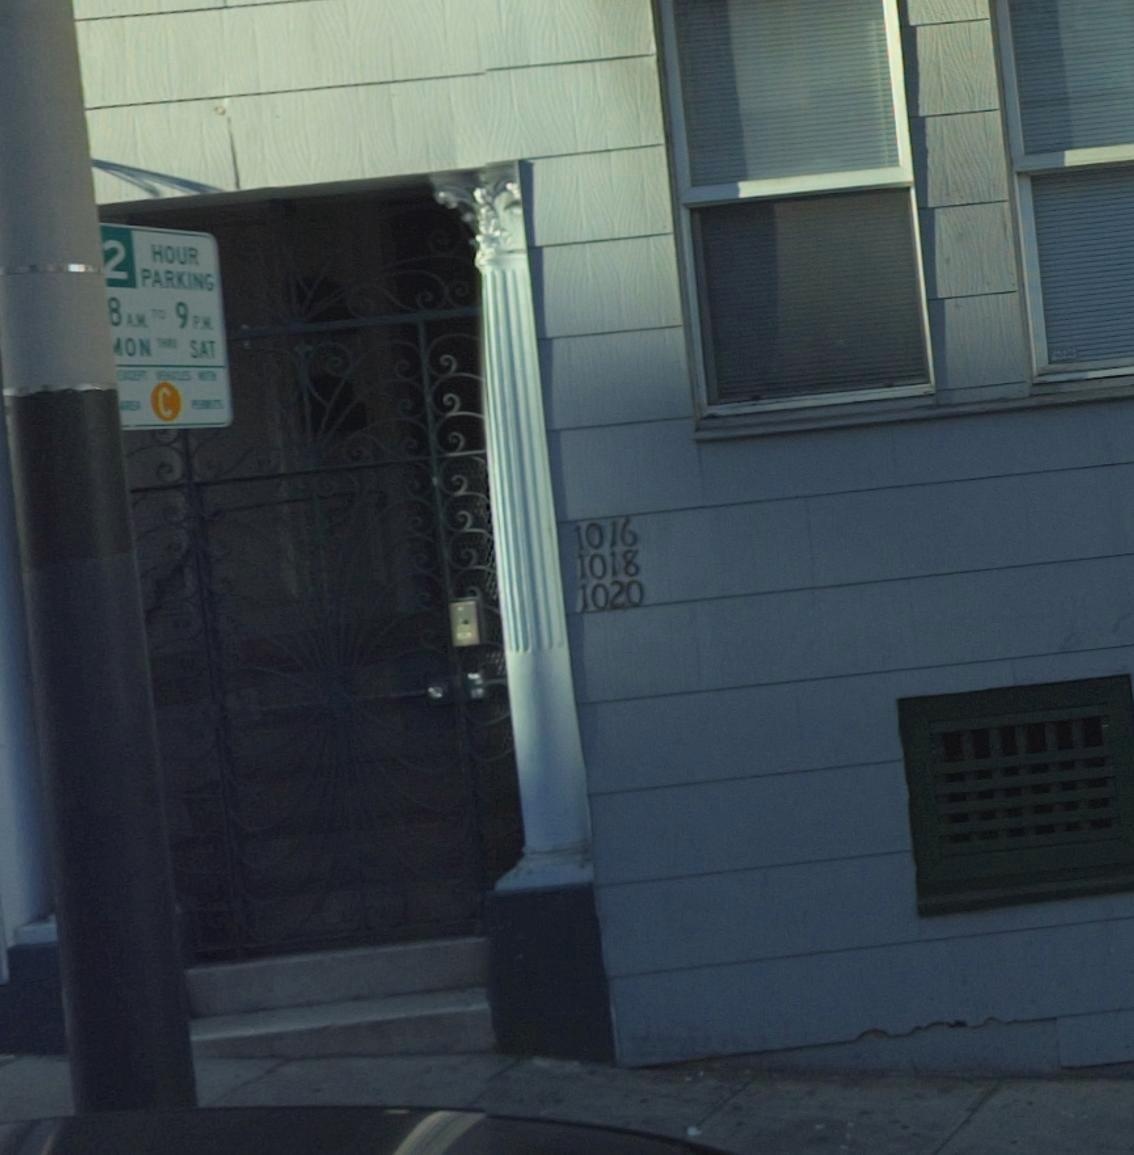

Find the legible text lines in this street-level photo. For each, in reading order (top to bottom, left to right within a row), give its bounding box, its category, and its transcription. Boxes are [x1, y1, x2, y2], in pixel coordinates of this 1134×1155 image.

[100, 237, 131, 282] None: 2
[149, 241, 201, 269] None: HOUR
[139, 266, 215, 294] None: PARKING
[104, 295, 124, 328] None: 8
[124, 311, 151, 331] None: A.M.
[148, 306, 168, 322] None: TO
[173, 298, 192, 332] None: 9
[190, 313, 217, 332] None: P.M.
[107, 335, 153, 359] None: *ON
[154, 336, 180, 351] None: THRU
[187, 338, 218, 361] None: SAT
[113, 367, 220, 383] None: EXCEPT VEHICLES WITH
[117, 399, 143, 413] None: AREA
[157, 385, 175, 421] None: C
[189, 398, 226, 411] None: PERMITS
[569, 513, 642, 554] StreetNumber: 1016
[573, 546, 642, 583] StreetNumber: 1018
[578, 577, 645, 615] StreetNumber: 1020